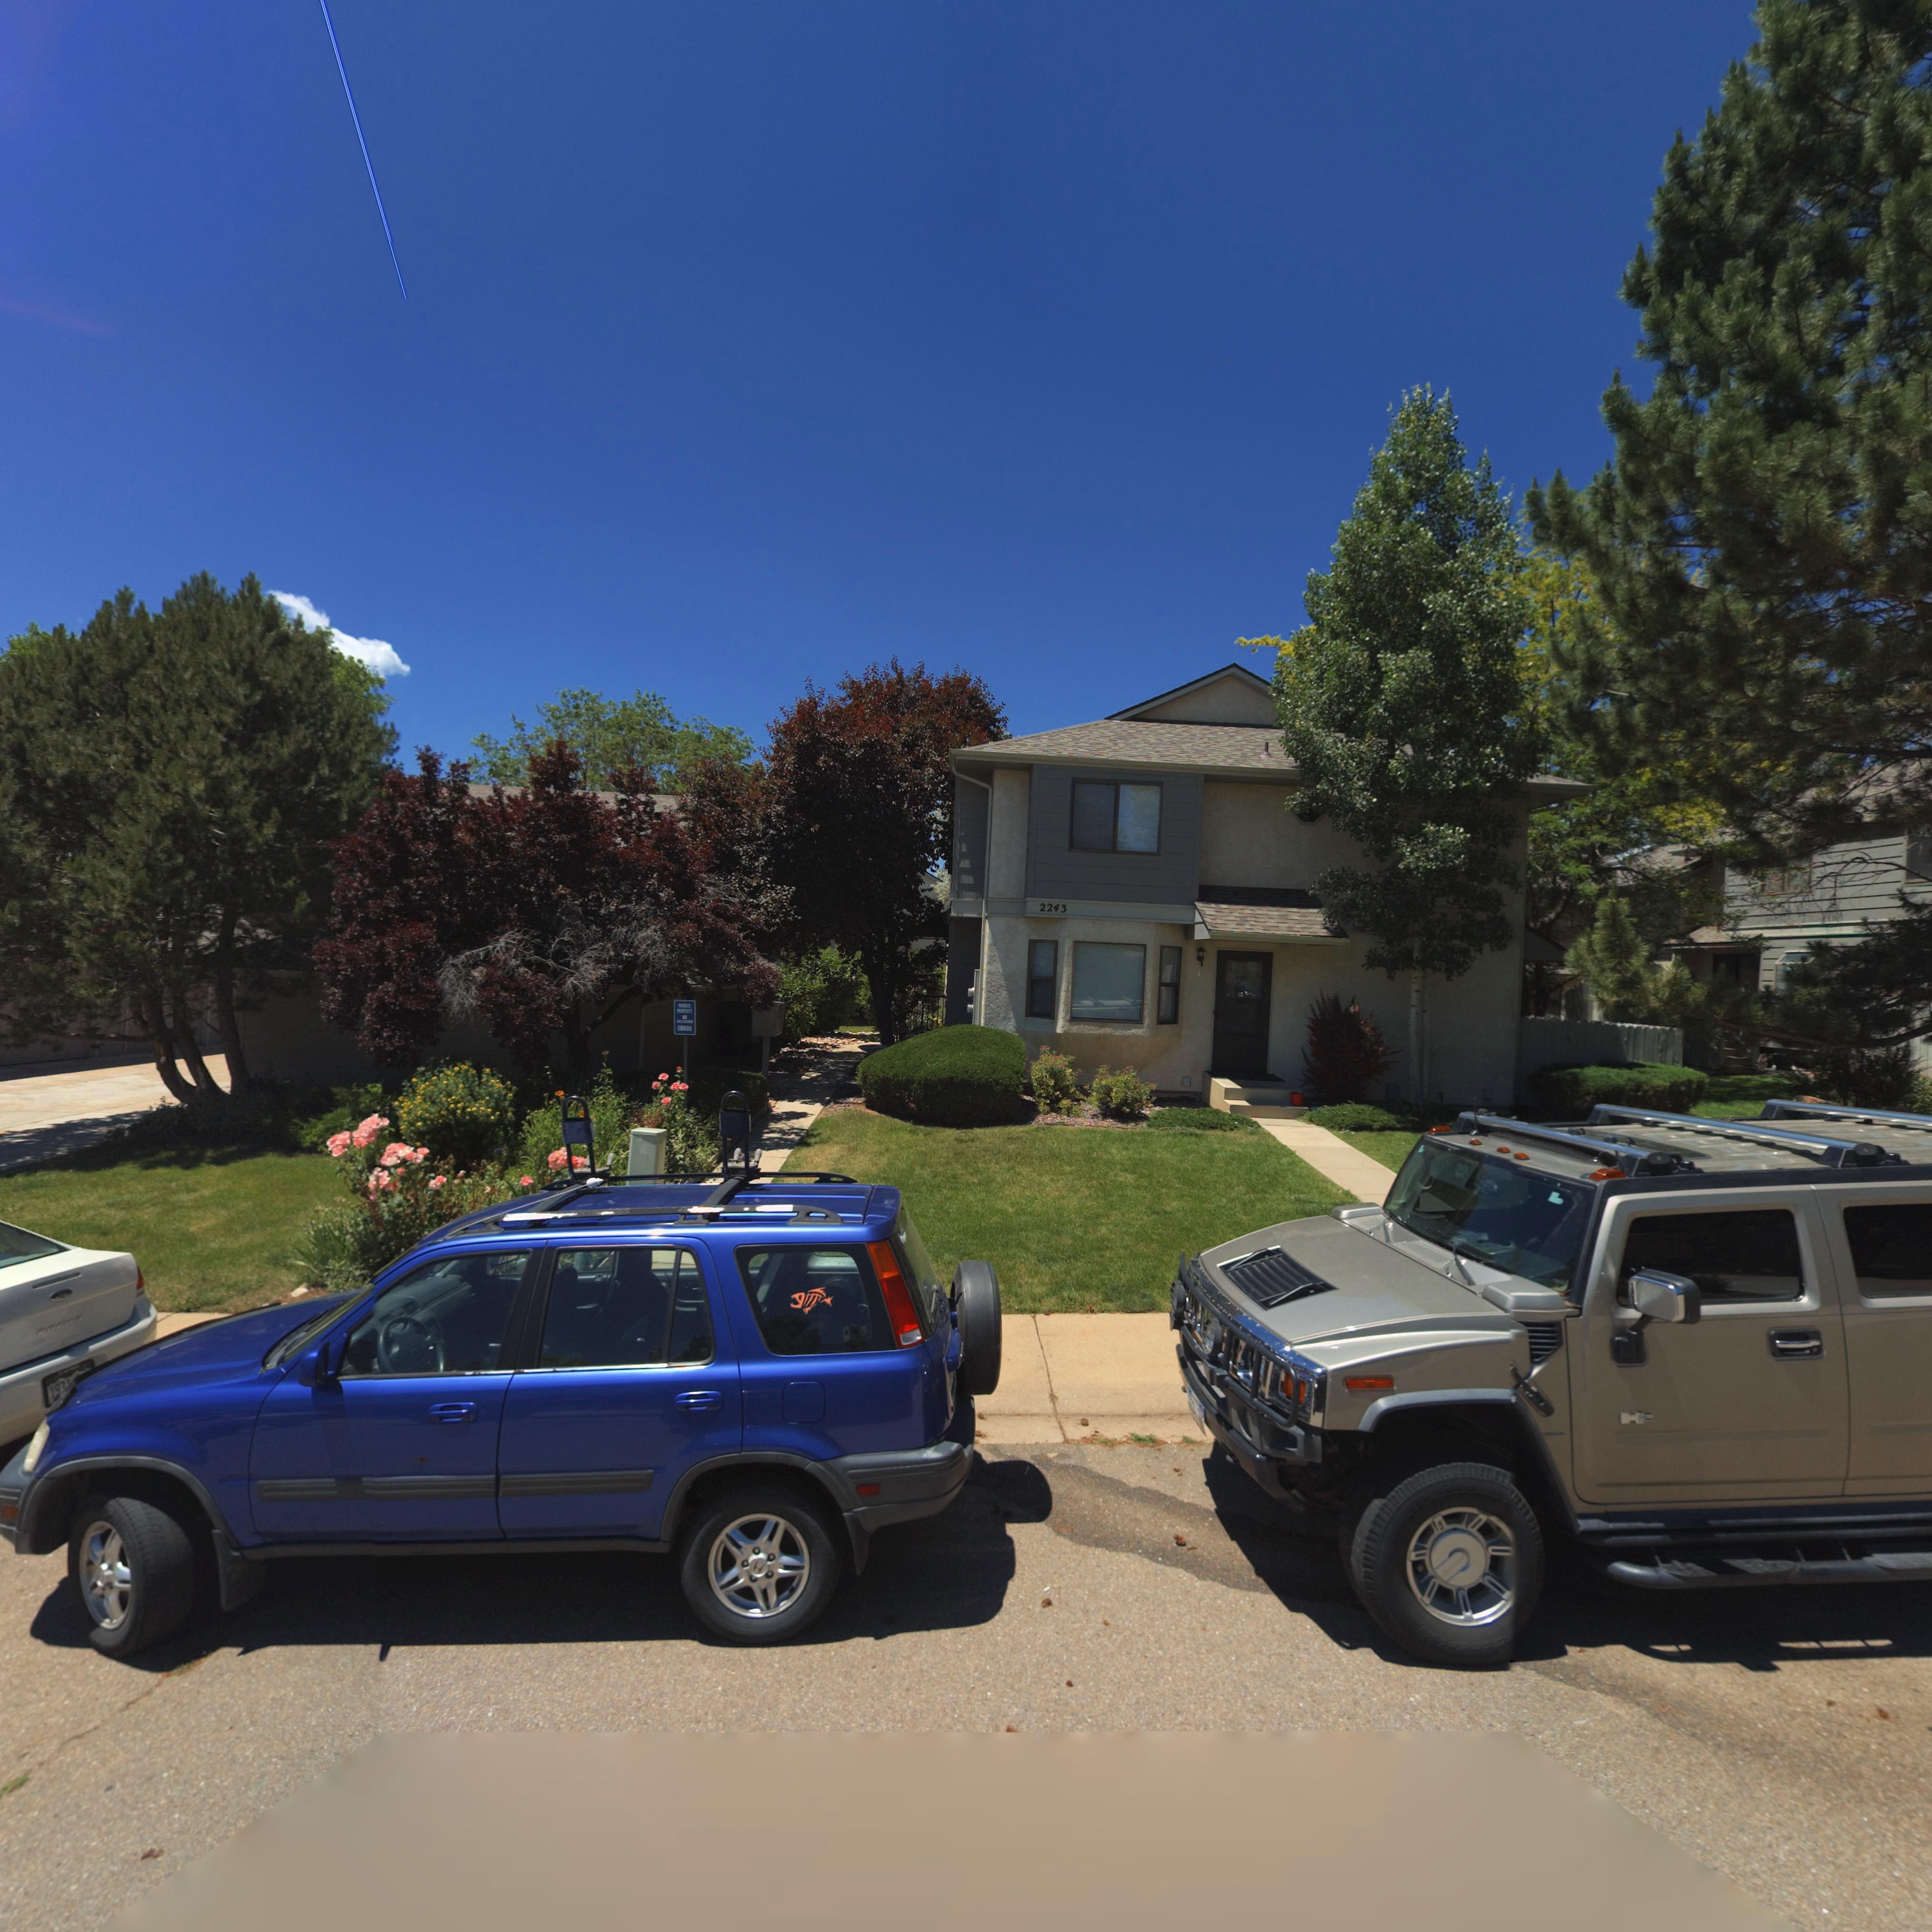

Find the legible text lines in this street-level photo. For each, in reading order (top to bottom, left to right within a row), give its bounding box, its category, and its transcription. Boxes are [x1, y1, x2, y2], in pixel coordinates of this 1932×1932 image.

[1038, 902, 1067, 913] StreetNumber: 2243